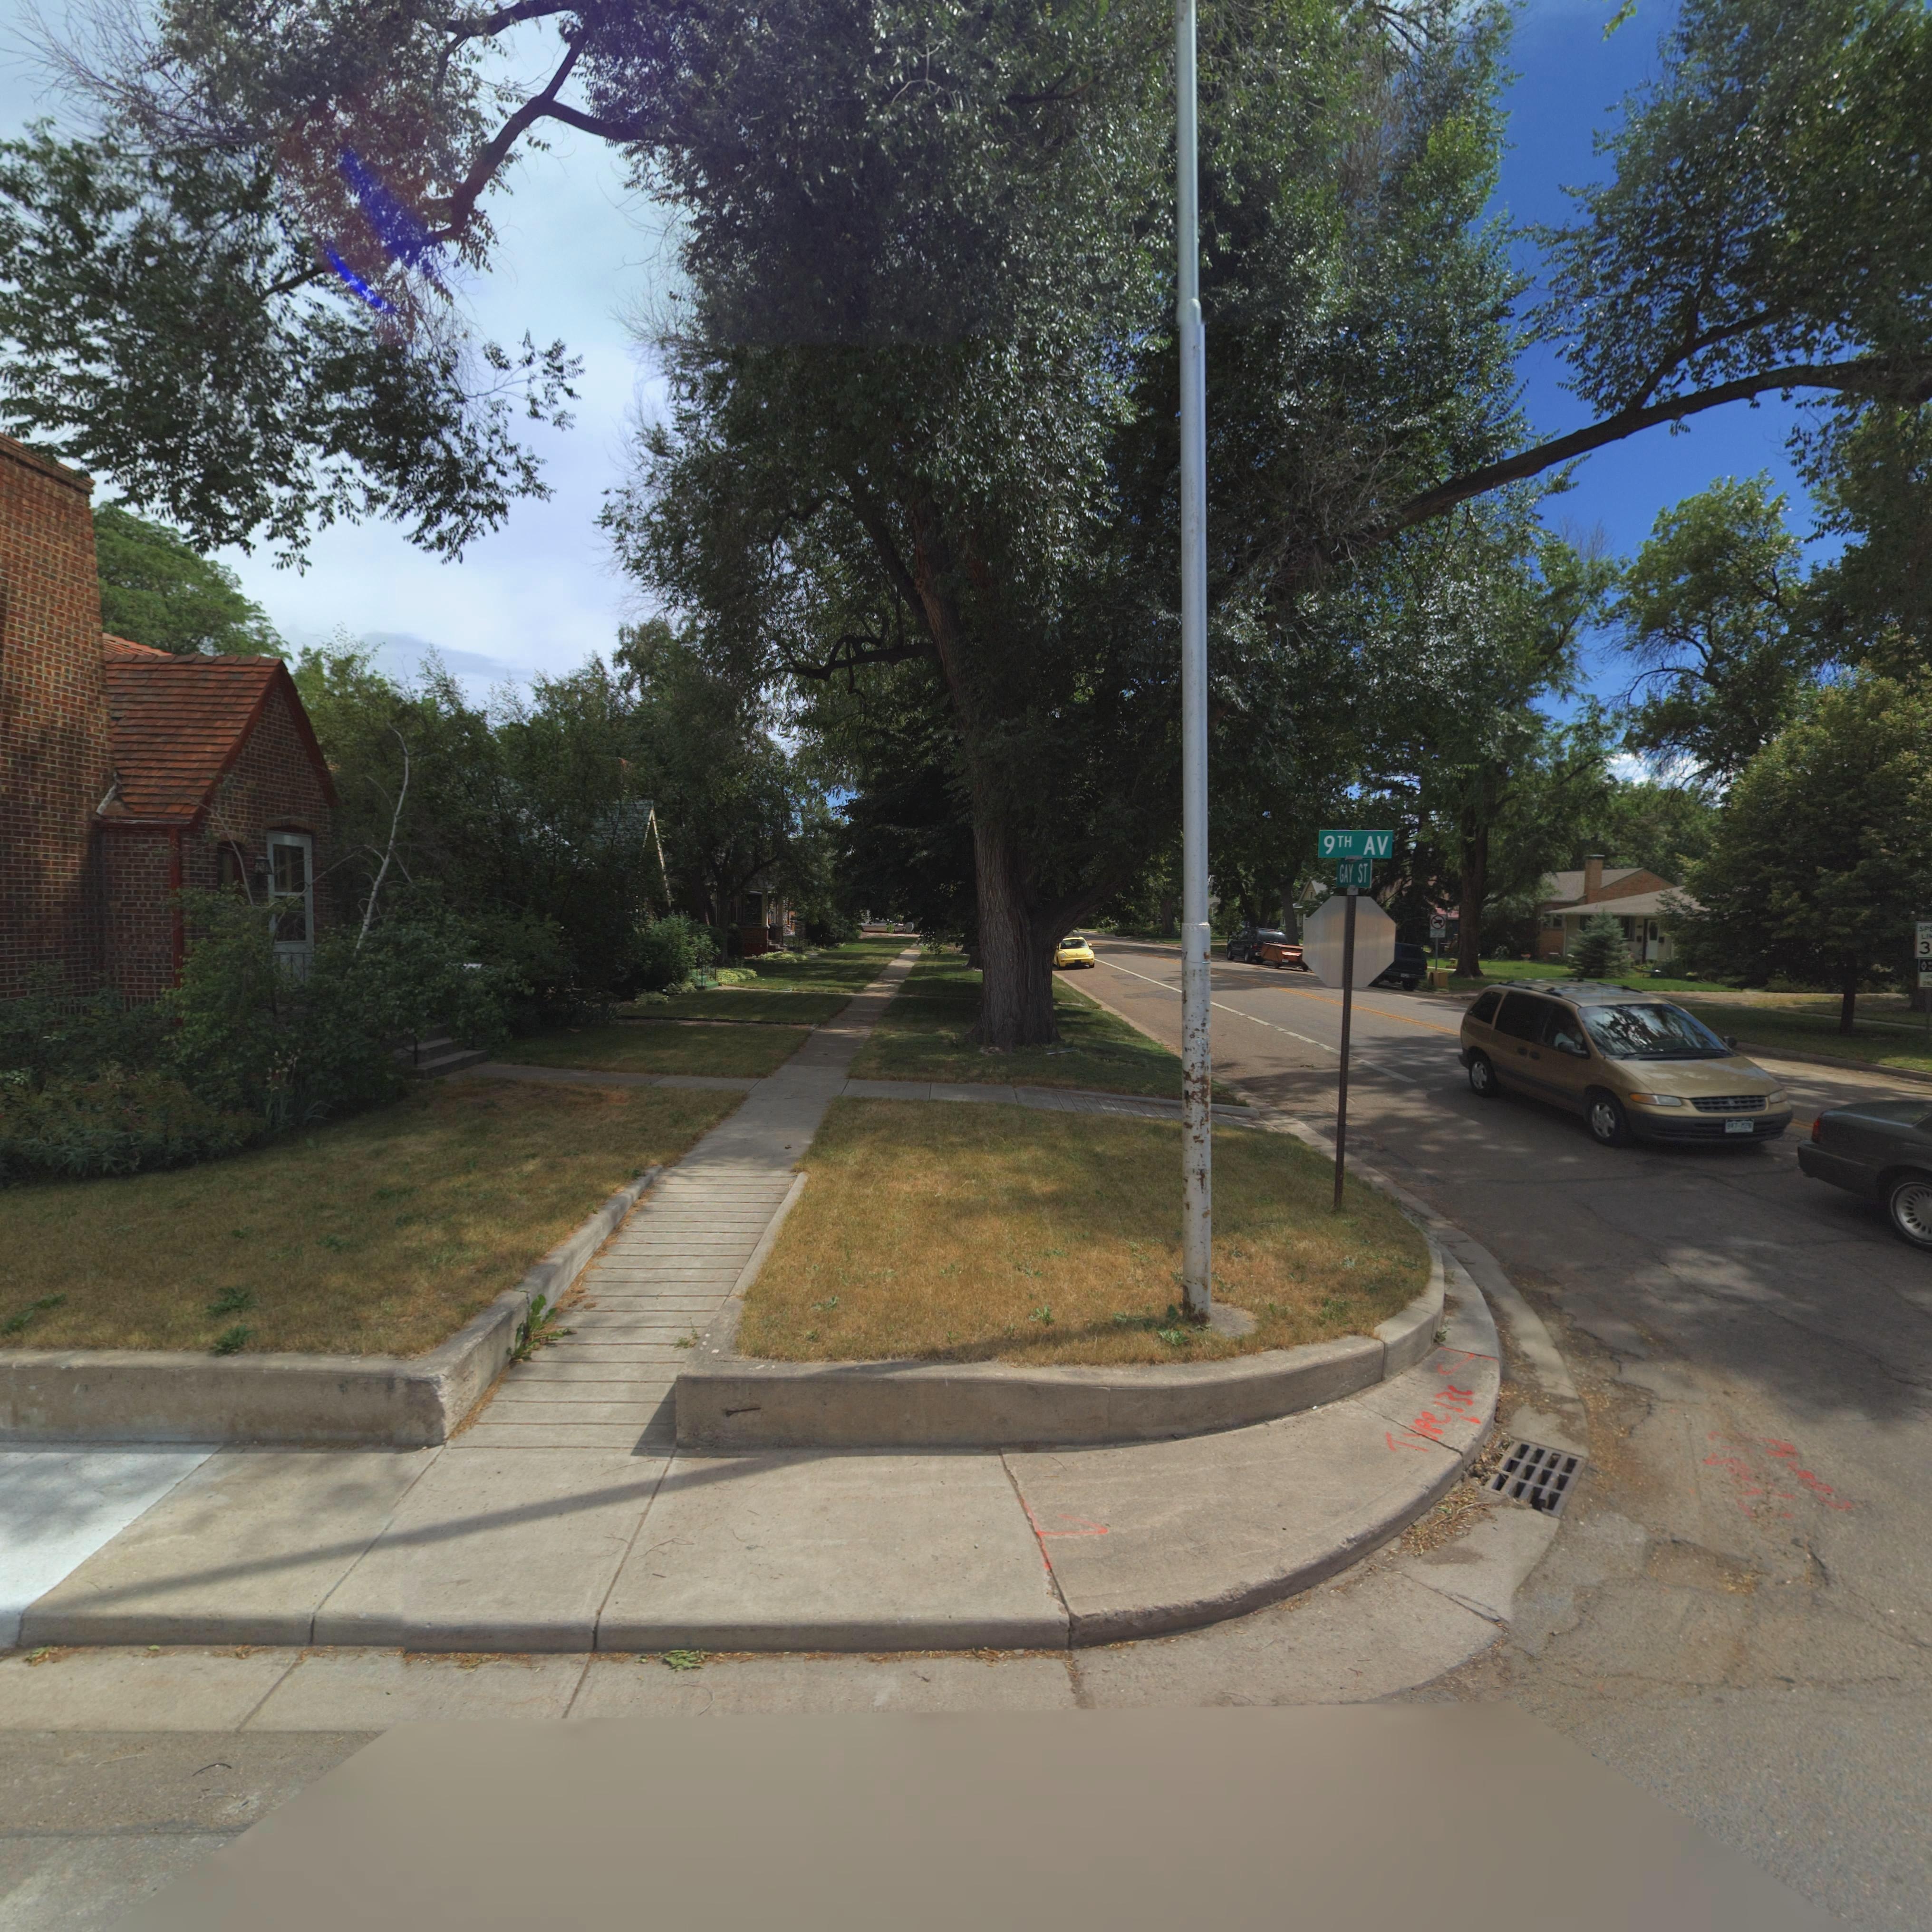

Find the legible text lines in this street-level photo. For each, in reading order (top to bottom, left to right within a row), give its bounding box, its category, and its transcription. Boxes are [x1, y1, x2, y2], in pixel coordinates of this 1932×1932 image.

[1322, 834, 1391, 856] StreetName: 9TH AV
[1338, 863, 1369, 884] StreetName: GAY ST